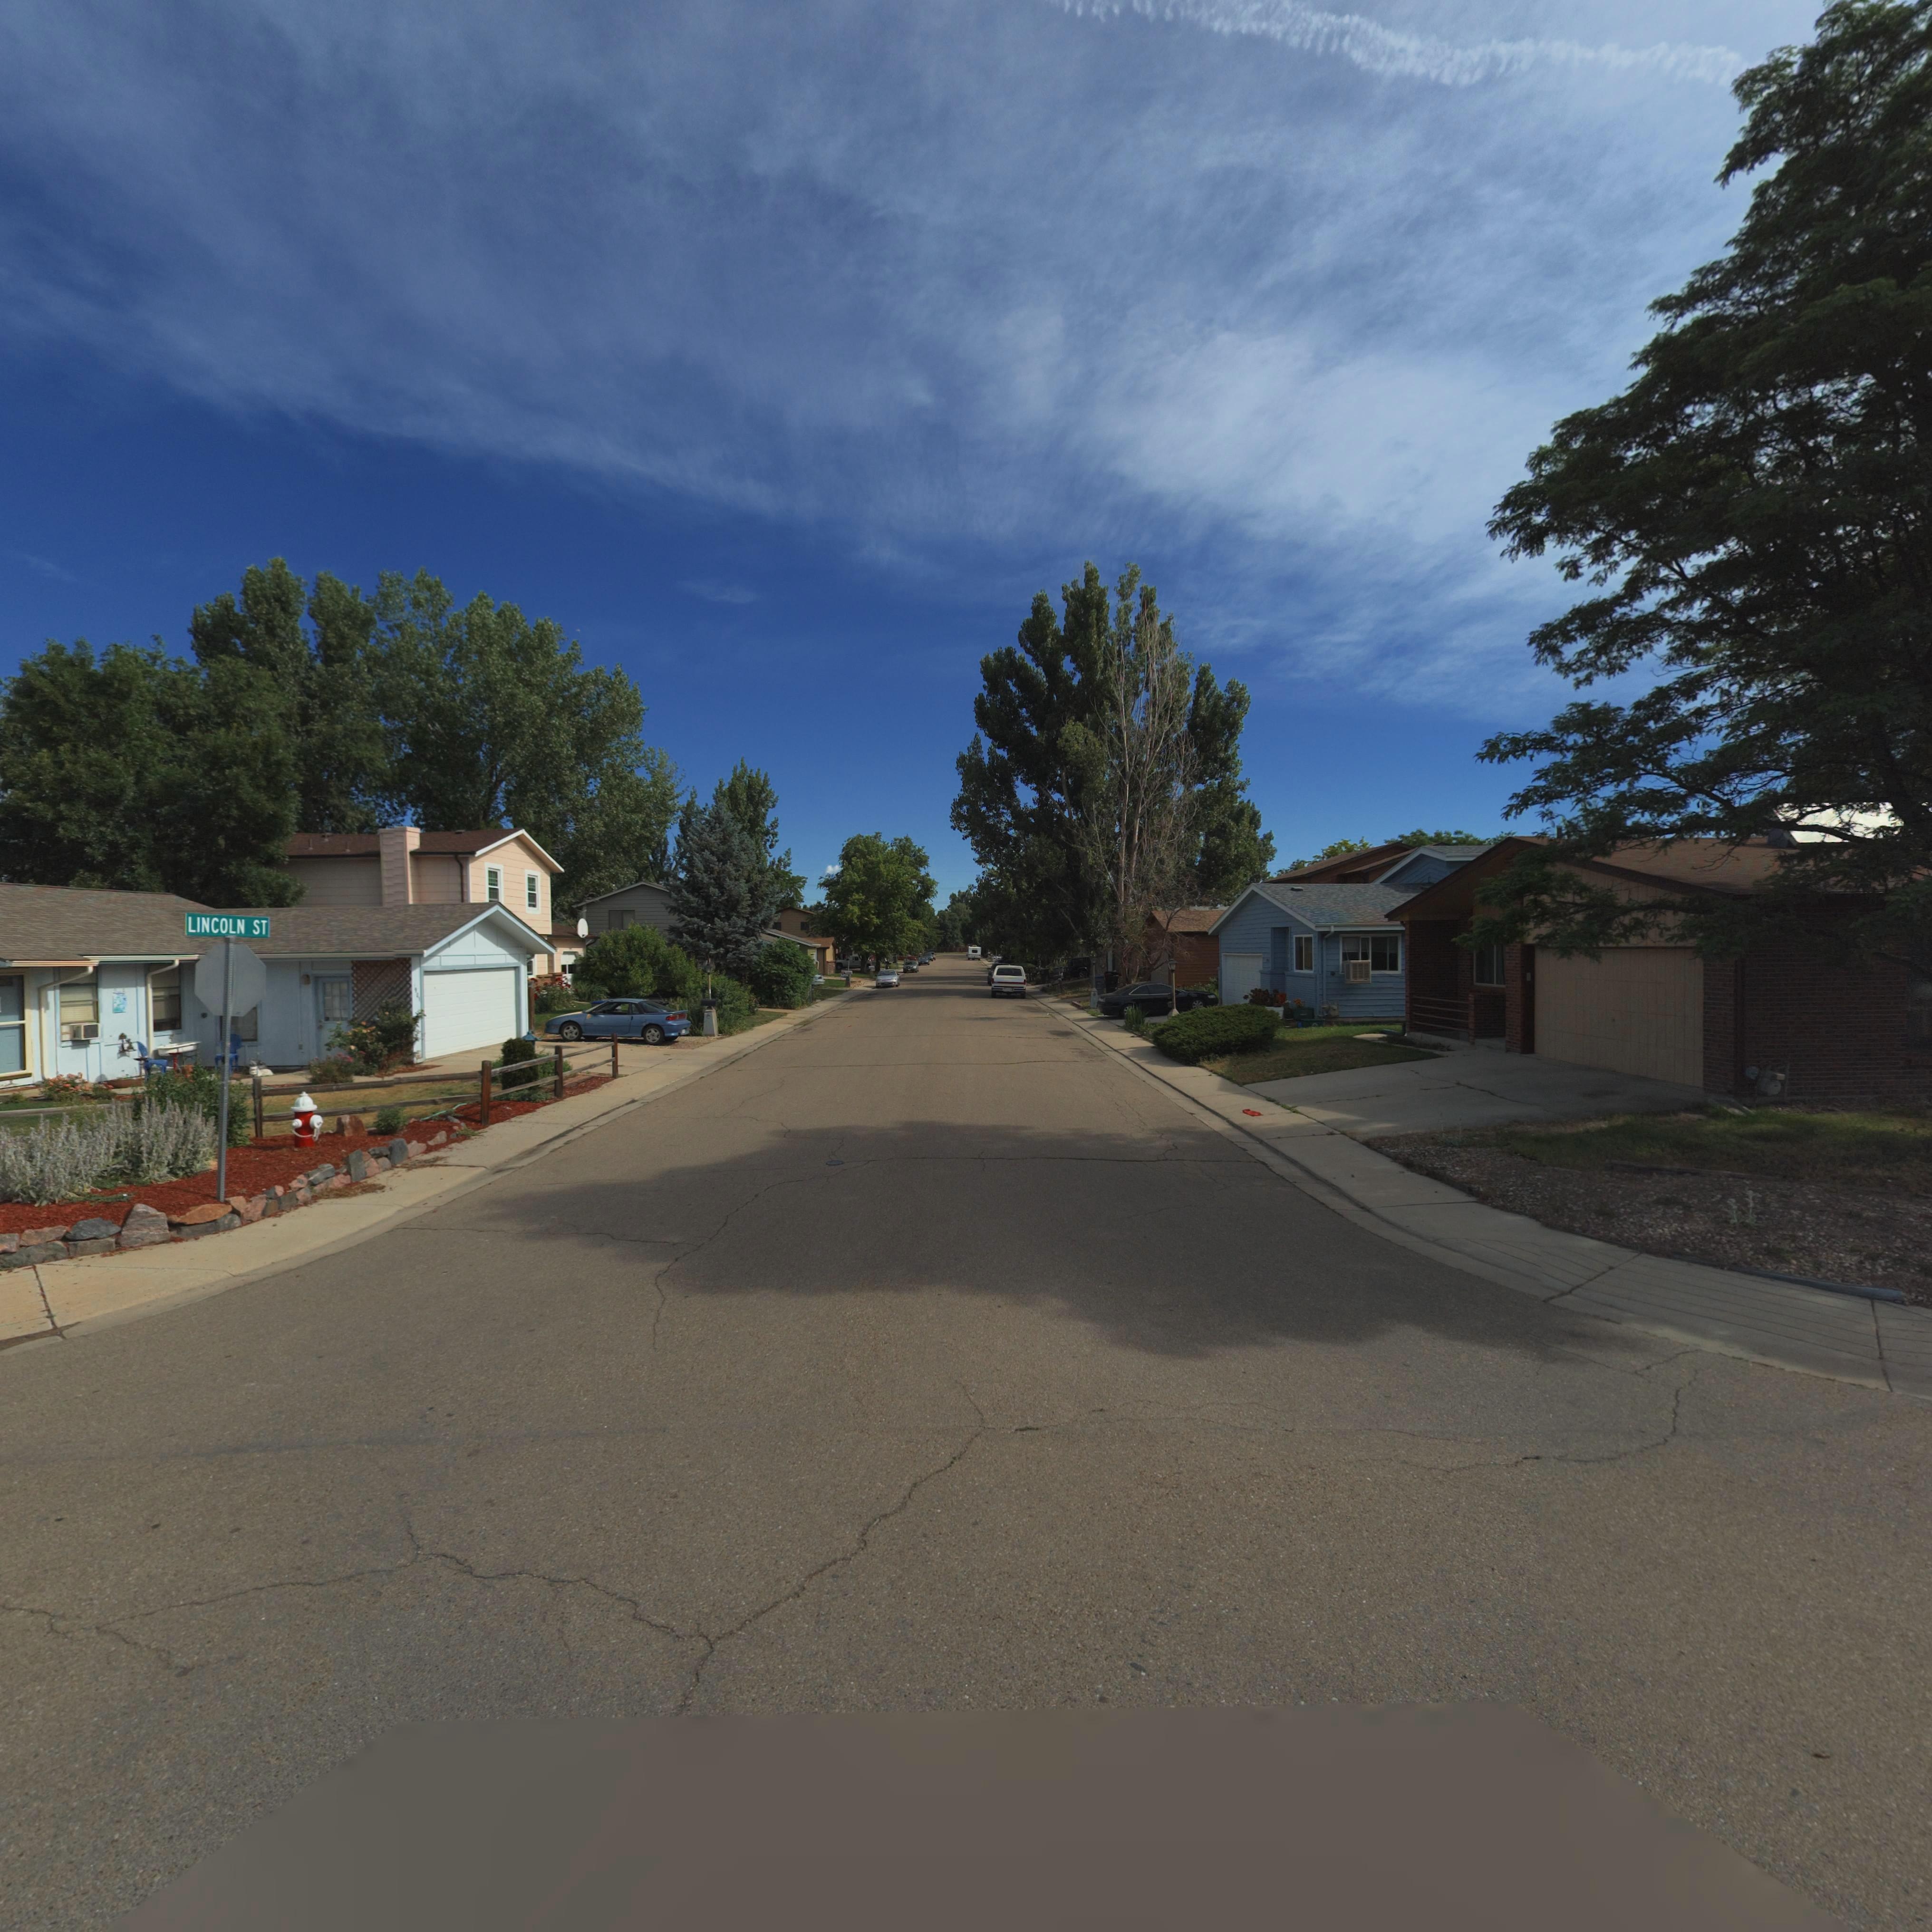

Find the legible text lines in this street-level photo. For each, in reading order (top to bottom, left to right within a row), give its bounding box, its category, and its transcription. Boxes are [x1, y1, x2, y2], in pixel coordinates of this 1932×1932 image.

[187, 916, 268, 935] StreetName: LINCOLN ST